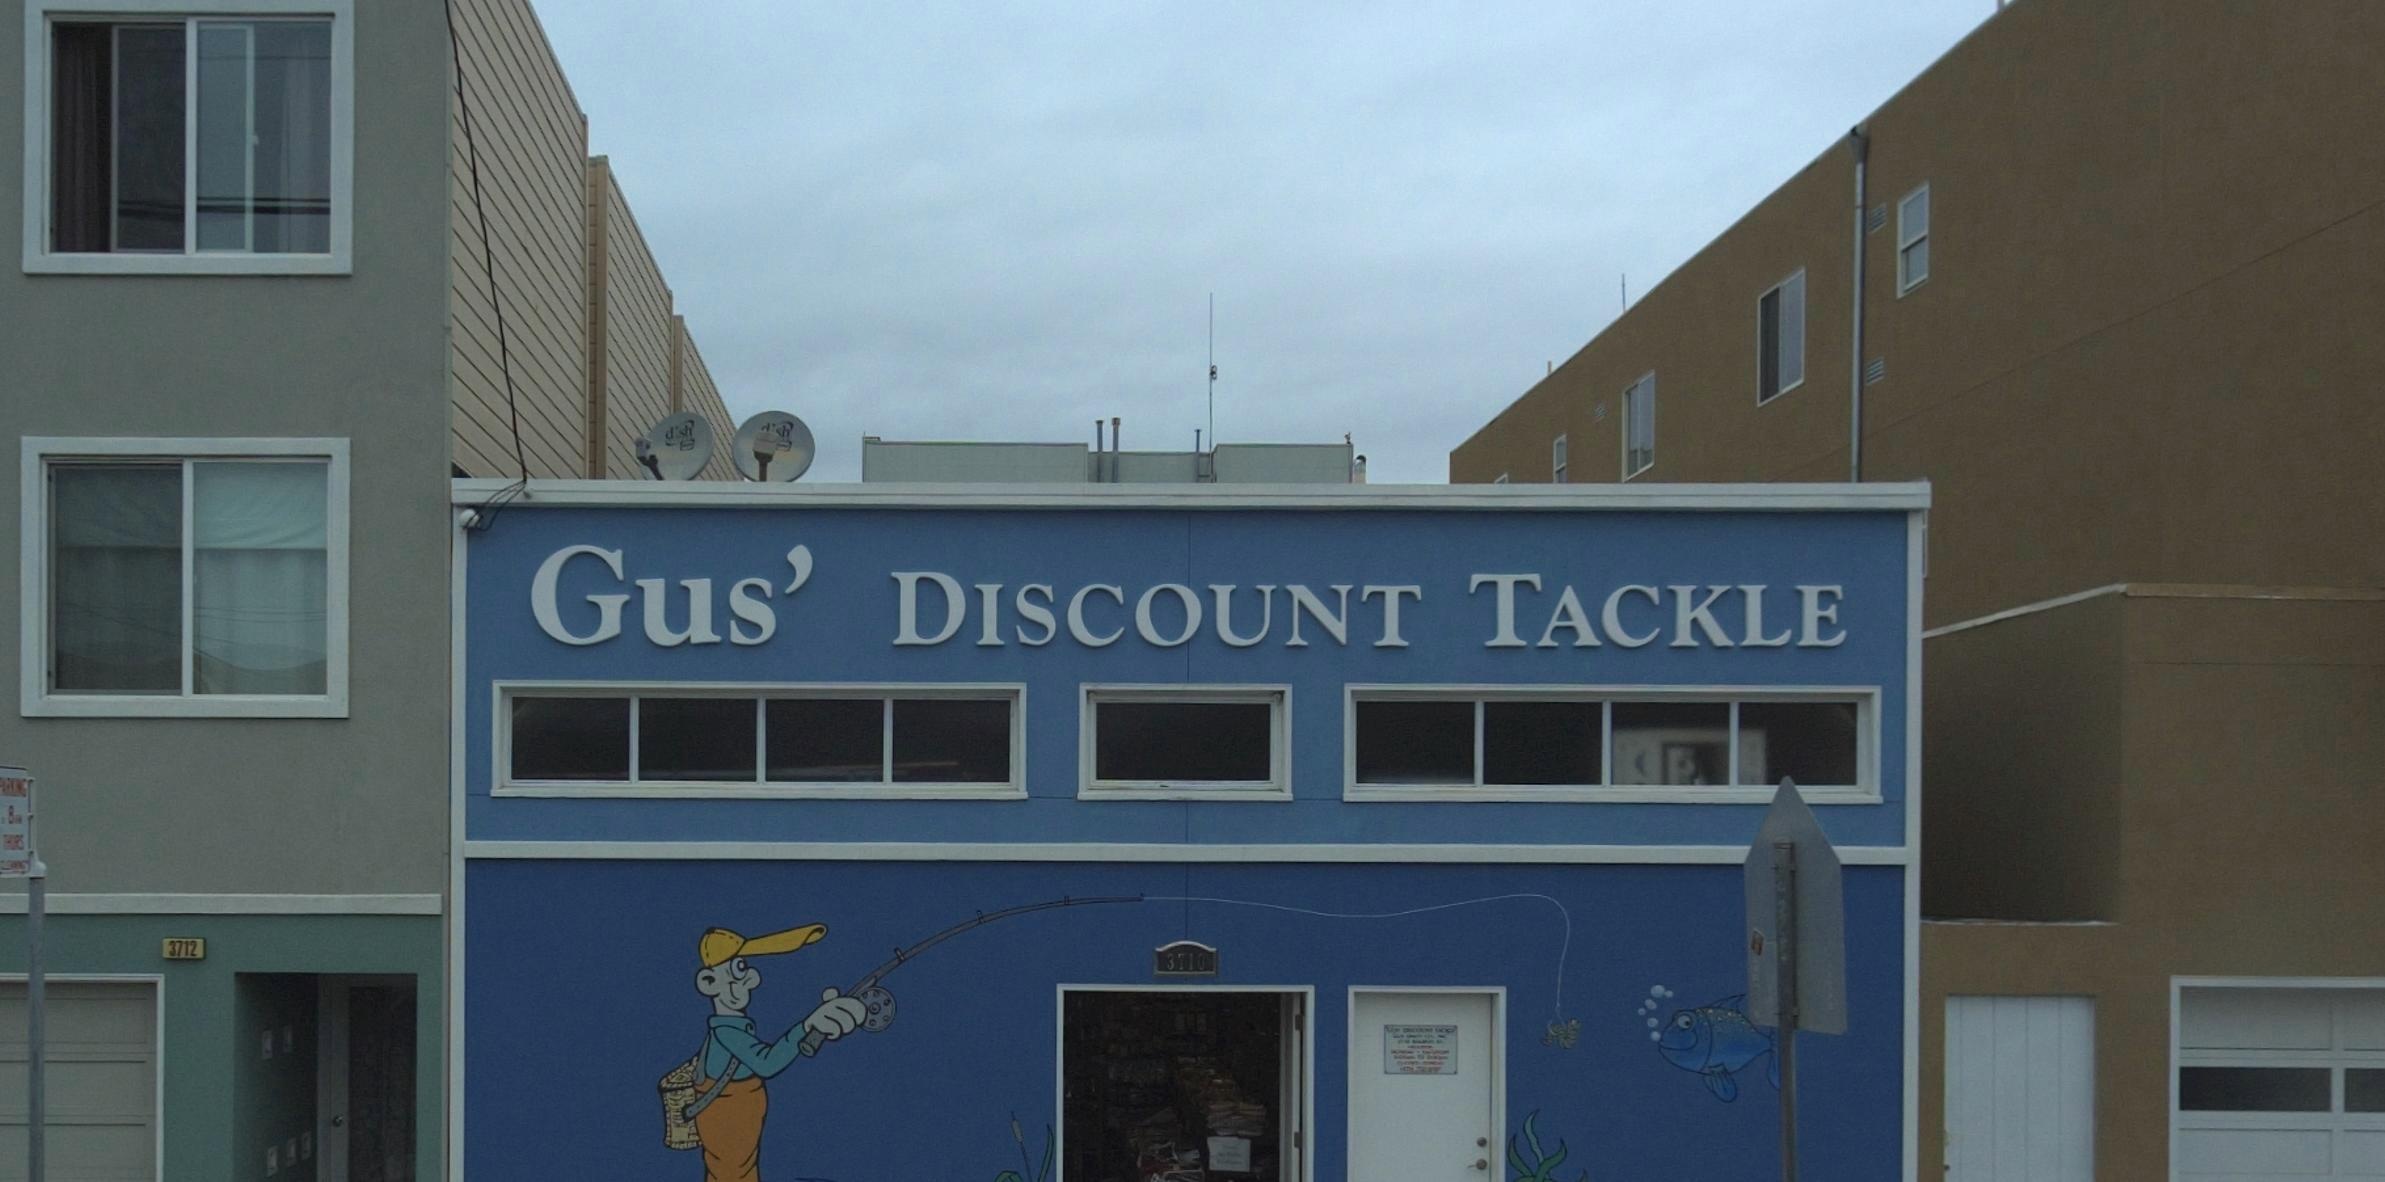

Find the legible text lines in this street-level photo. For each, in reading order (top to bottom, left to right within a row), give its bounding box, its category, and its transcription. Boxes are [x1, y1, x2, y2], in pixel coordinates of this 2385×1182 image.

[663, 422, 696, 445] BusinessName: dish
[780, 423, 791, 439] None: h
[517, 536, 1855, 657] BusinessName: Gus' DISCOUNT TACKLE
[4, 776, 29, 799] None: RKING
[6, 802, 24, 827] None: 8pm
[1, 831, 27, 853] None: THURS
[166, 938, 199, 959] StreetNumber: 3712
[1164, 950, 1208, 973] StreetNumber: 3710